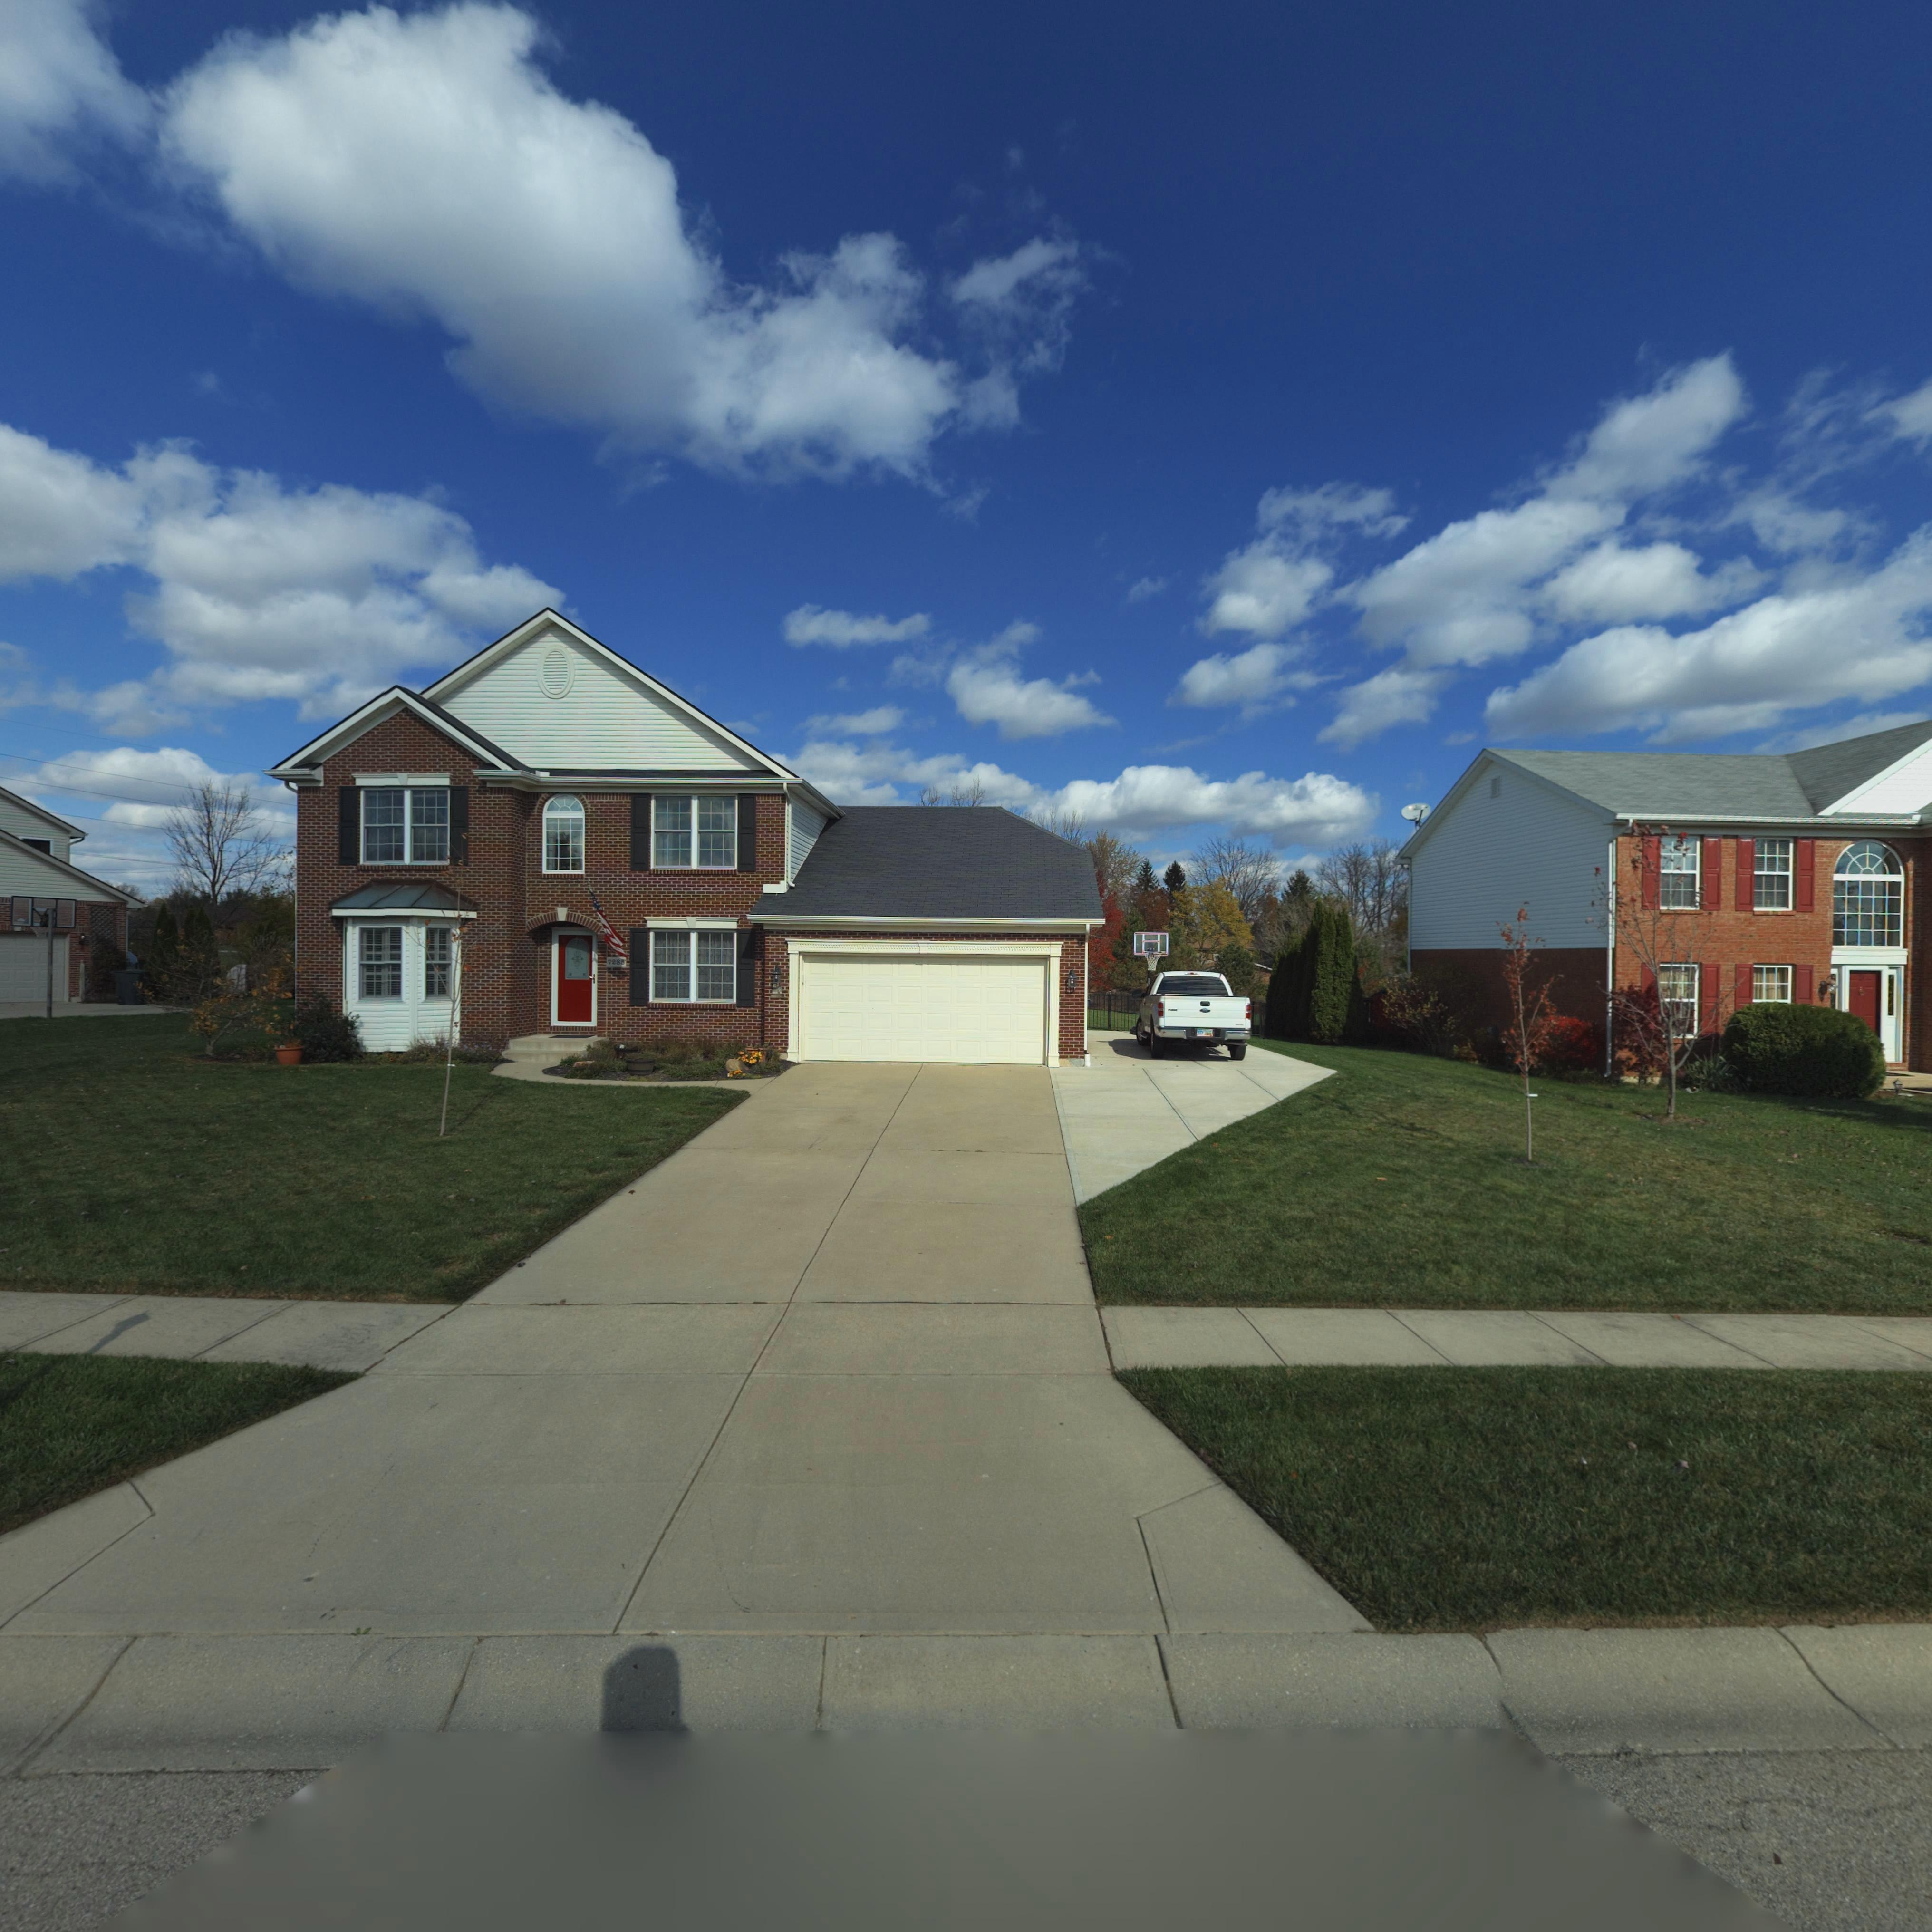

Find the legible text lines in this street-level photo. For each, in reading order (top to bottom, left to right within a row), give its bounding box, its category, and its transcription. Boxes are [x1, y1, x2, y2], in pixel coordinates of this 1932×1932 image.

[608, 959, 626, 966] StreetNumber: 7285